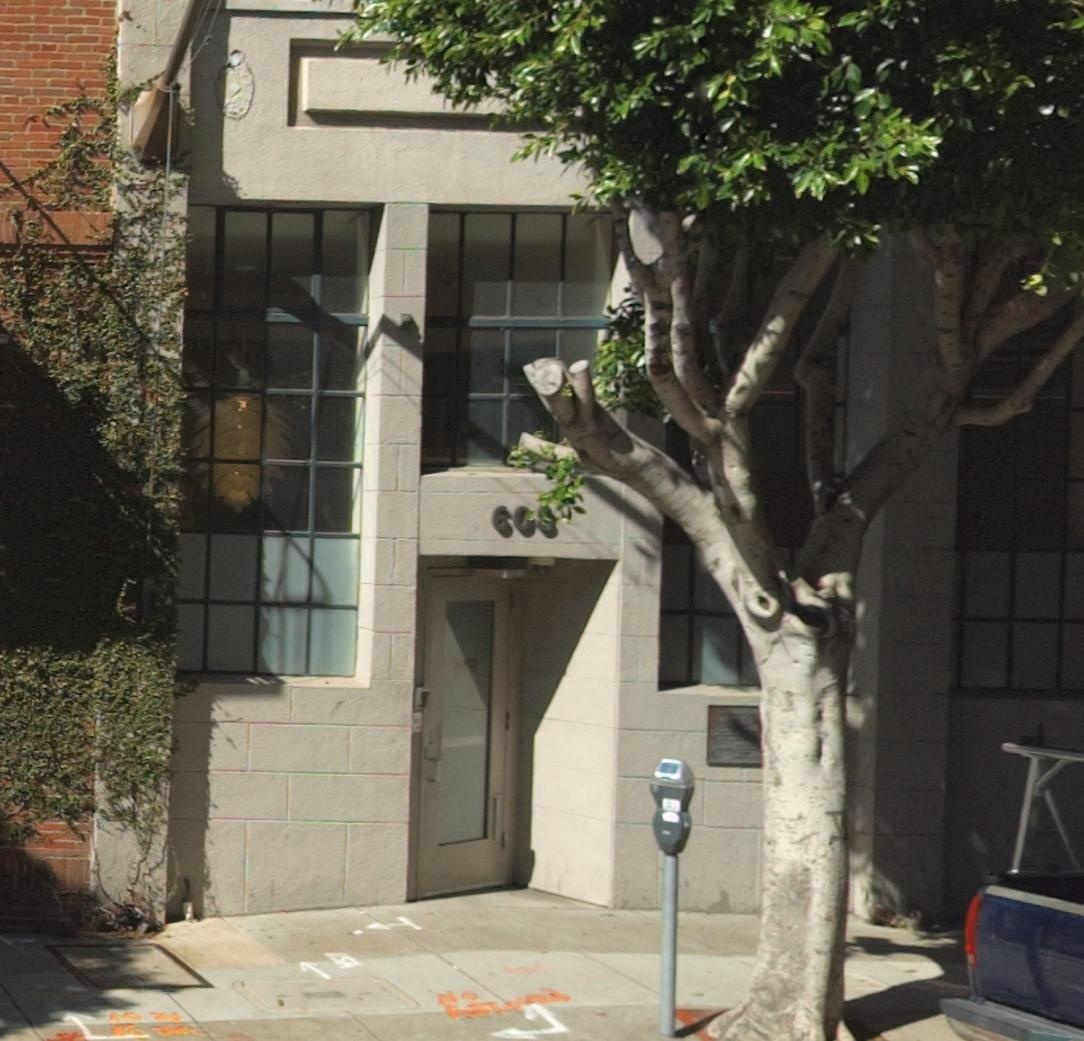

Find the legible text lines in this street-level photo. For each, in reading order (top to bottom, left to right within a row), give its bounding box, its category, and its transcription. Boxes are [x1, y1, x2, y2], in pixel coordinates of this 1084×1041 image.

[490, 504, 558, 534] StreetNumber: 608